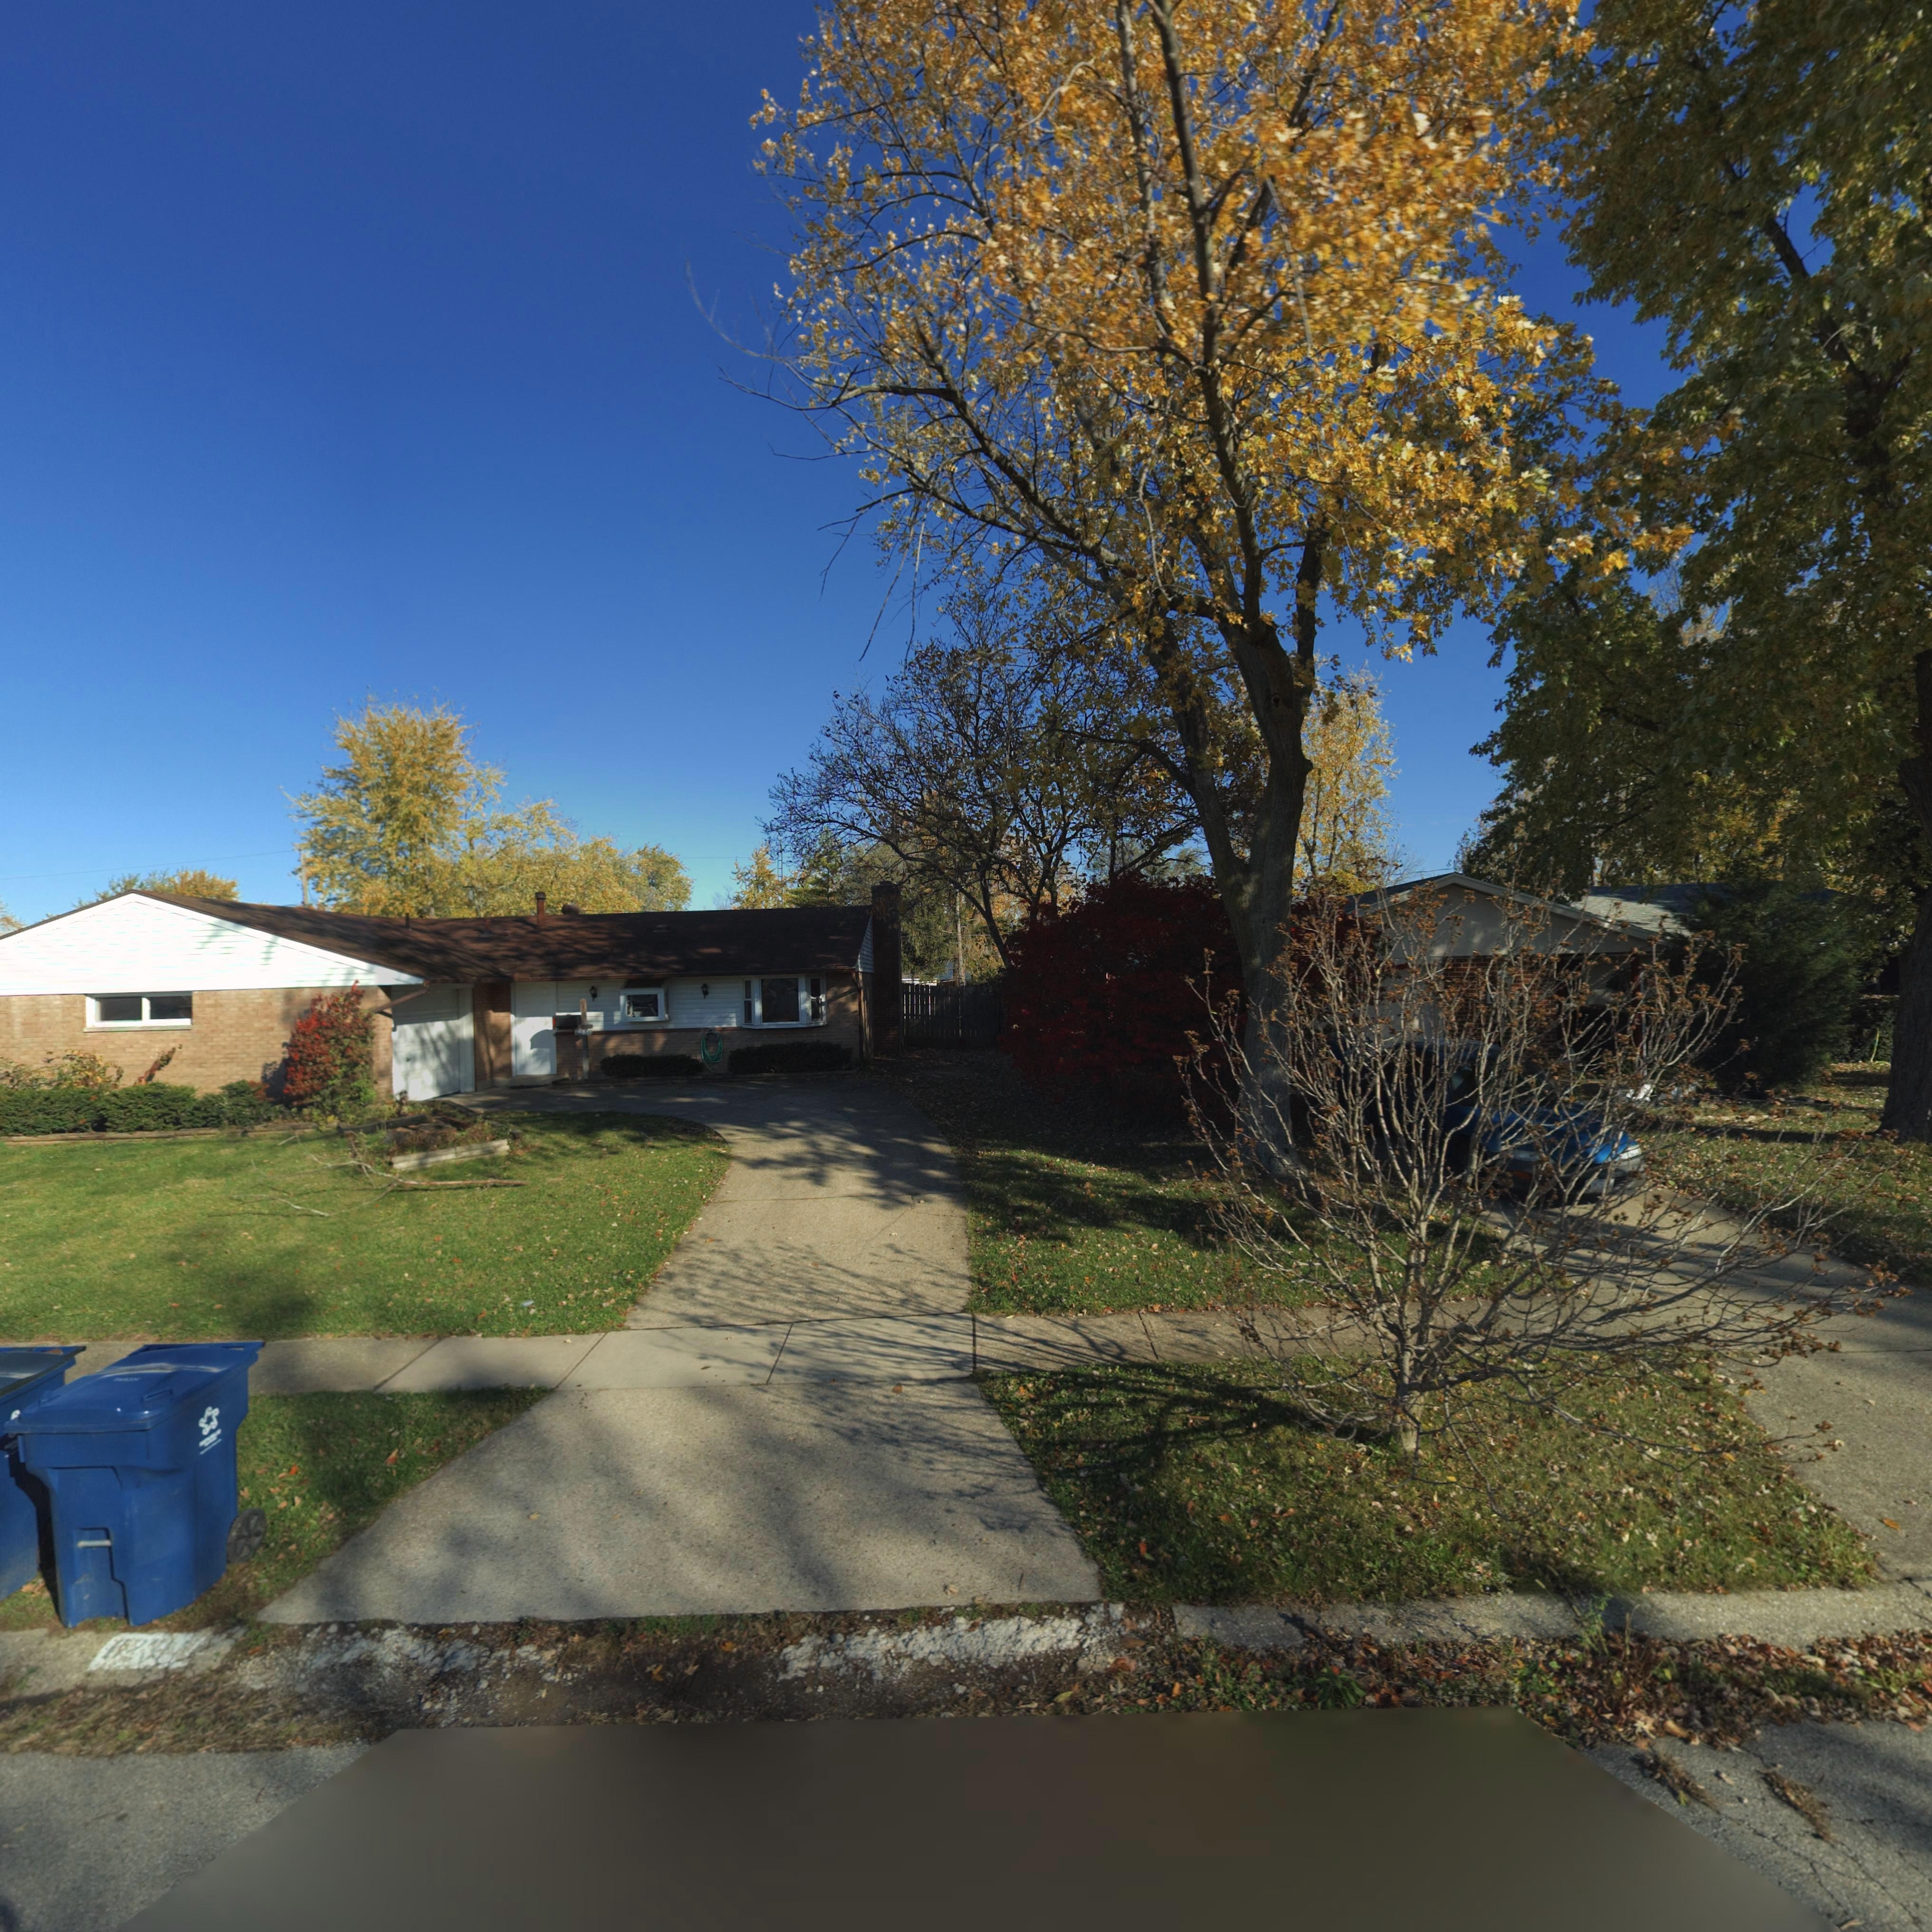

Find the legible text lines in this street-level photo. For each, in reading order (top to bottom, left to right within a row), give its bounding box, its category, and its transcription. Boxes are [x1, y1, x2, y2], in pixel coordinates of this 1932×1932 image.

[575, 1029, 591, 1036] StreetNumber: 6231